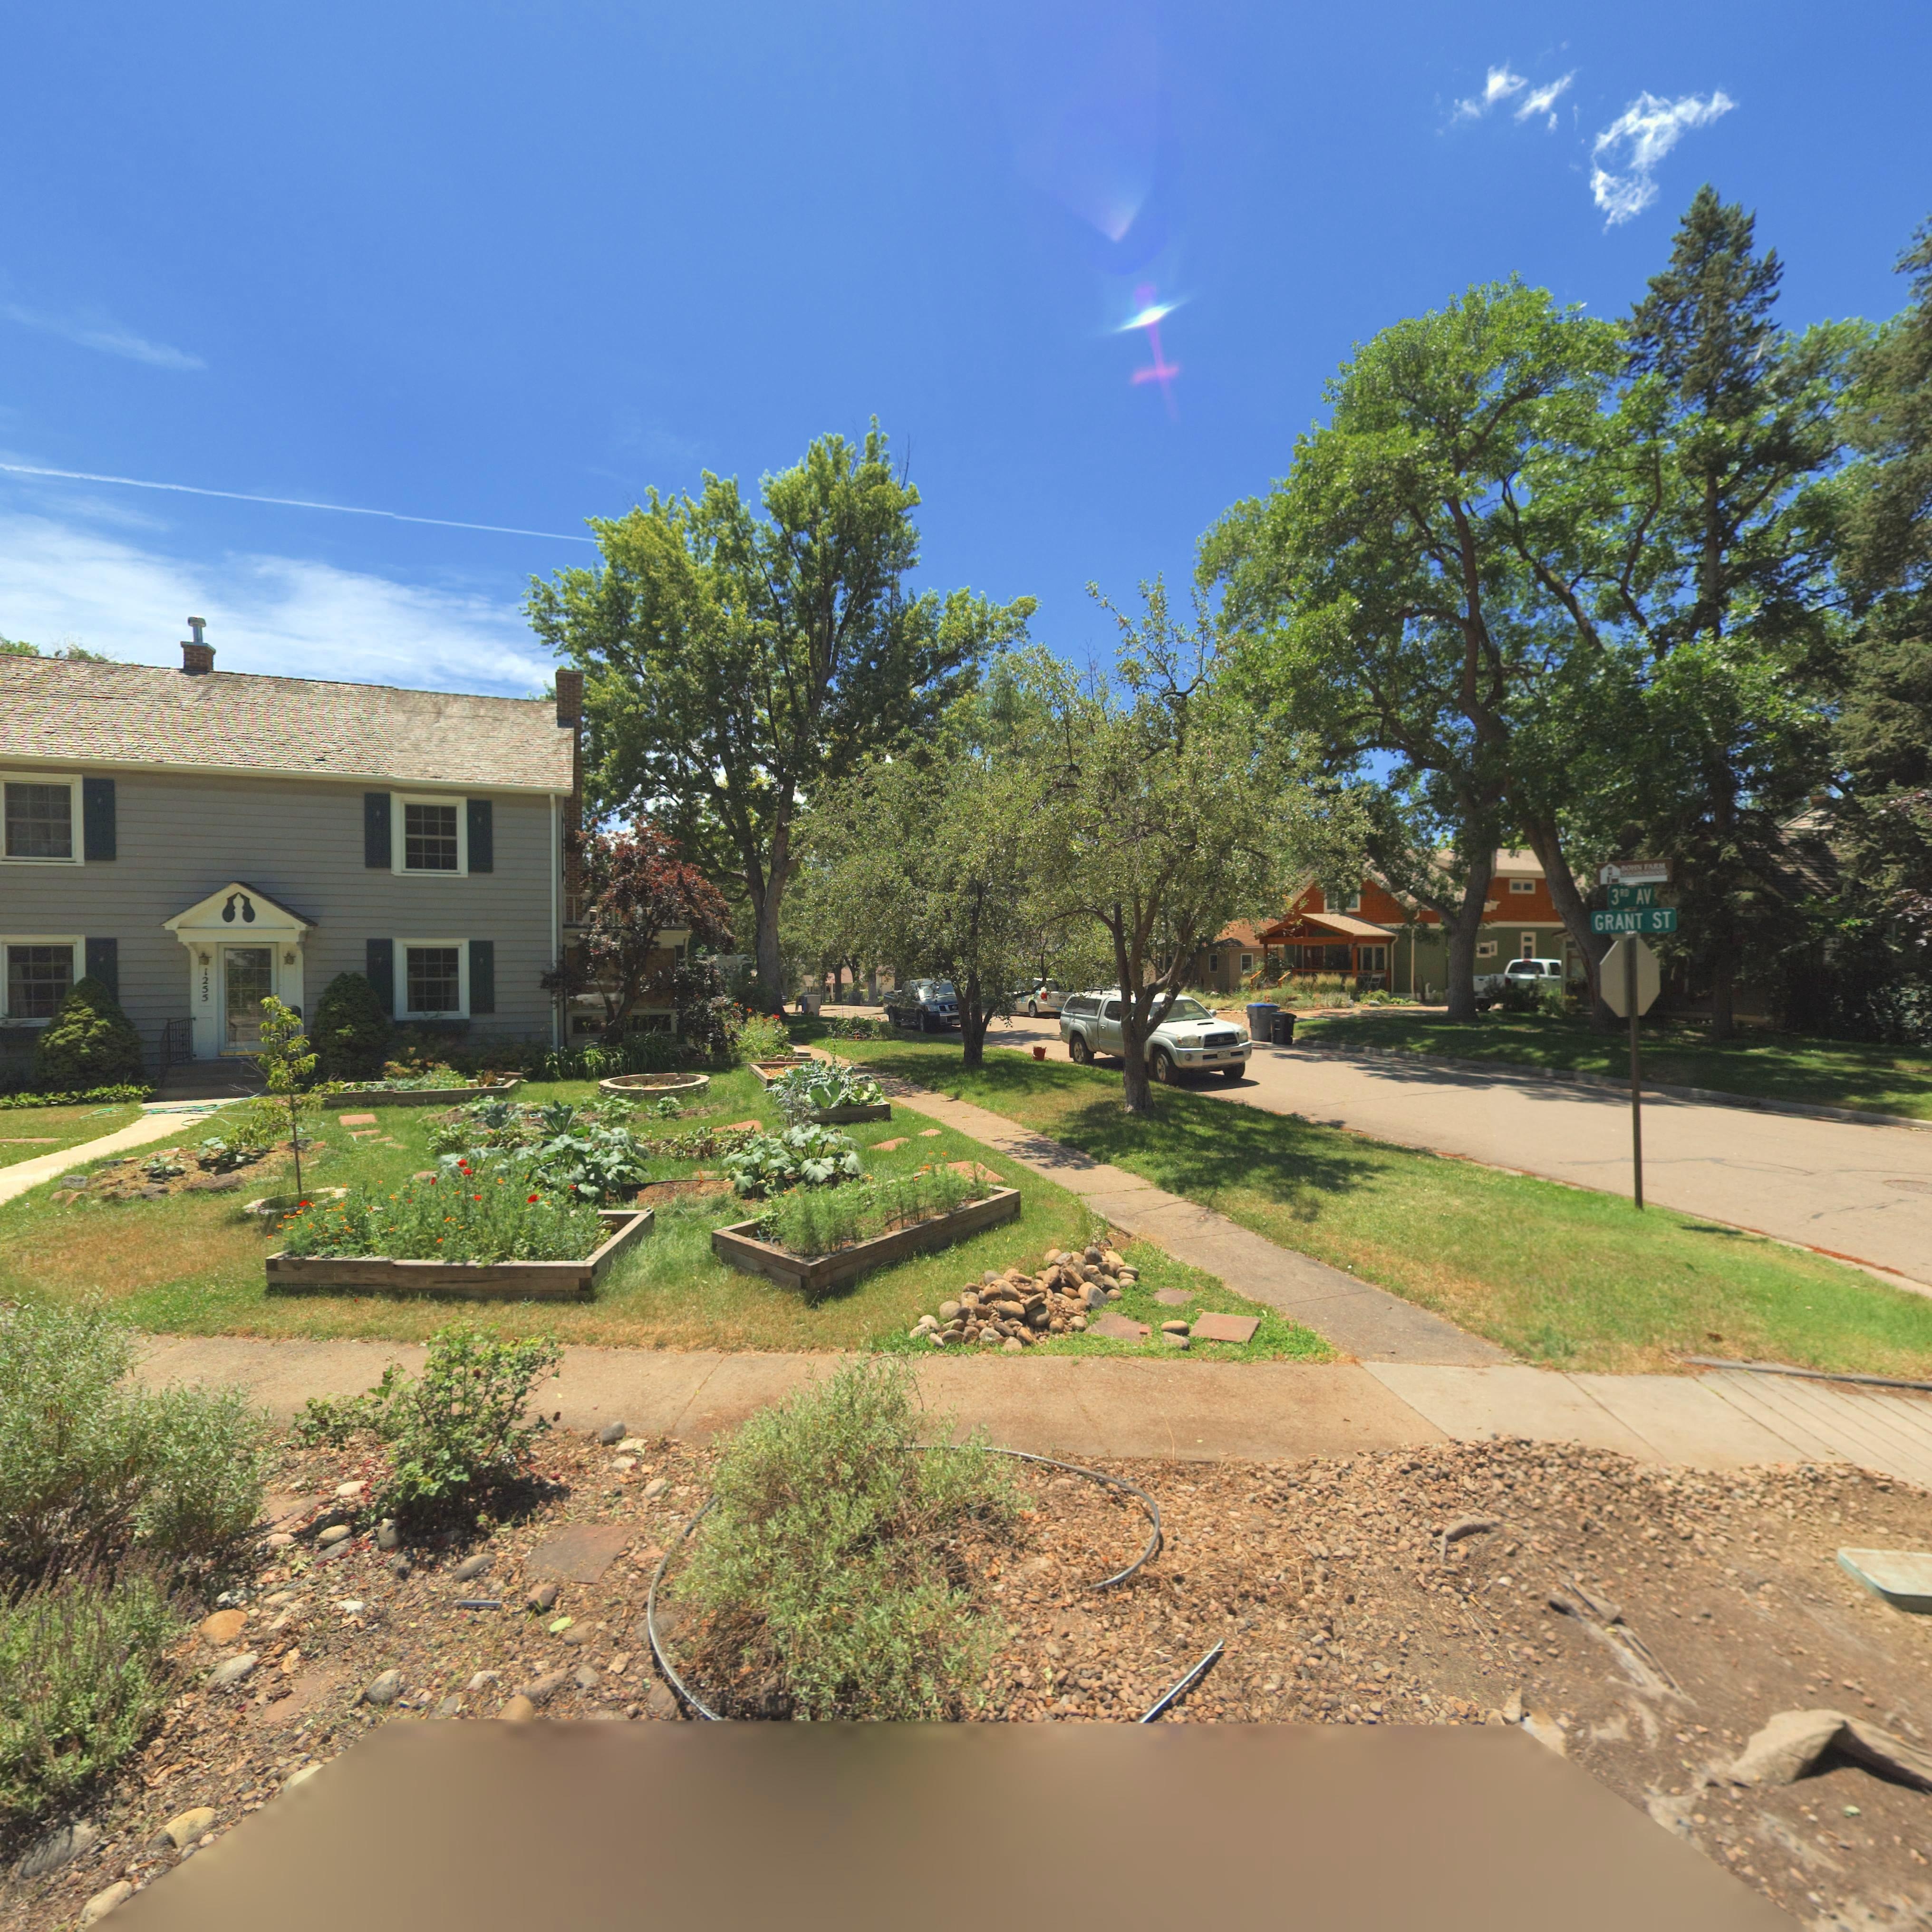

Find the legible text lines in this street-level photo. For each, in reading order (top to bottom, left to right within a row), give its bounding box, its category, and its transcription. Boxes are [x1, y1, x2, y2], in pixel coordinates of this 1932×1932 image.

[1611, 888, 1652, 906] StreetName: 3RD AV
[1594, 911, 1671, 931] StreetName: GRANT ST
[201, 967, 209, 1002] StreetNumber: 1255